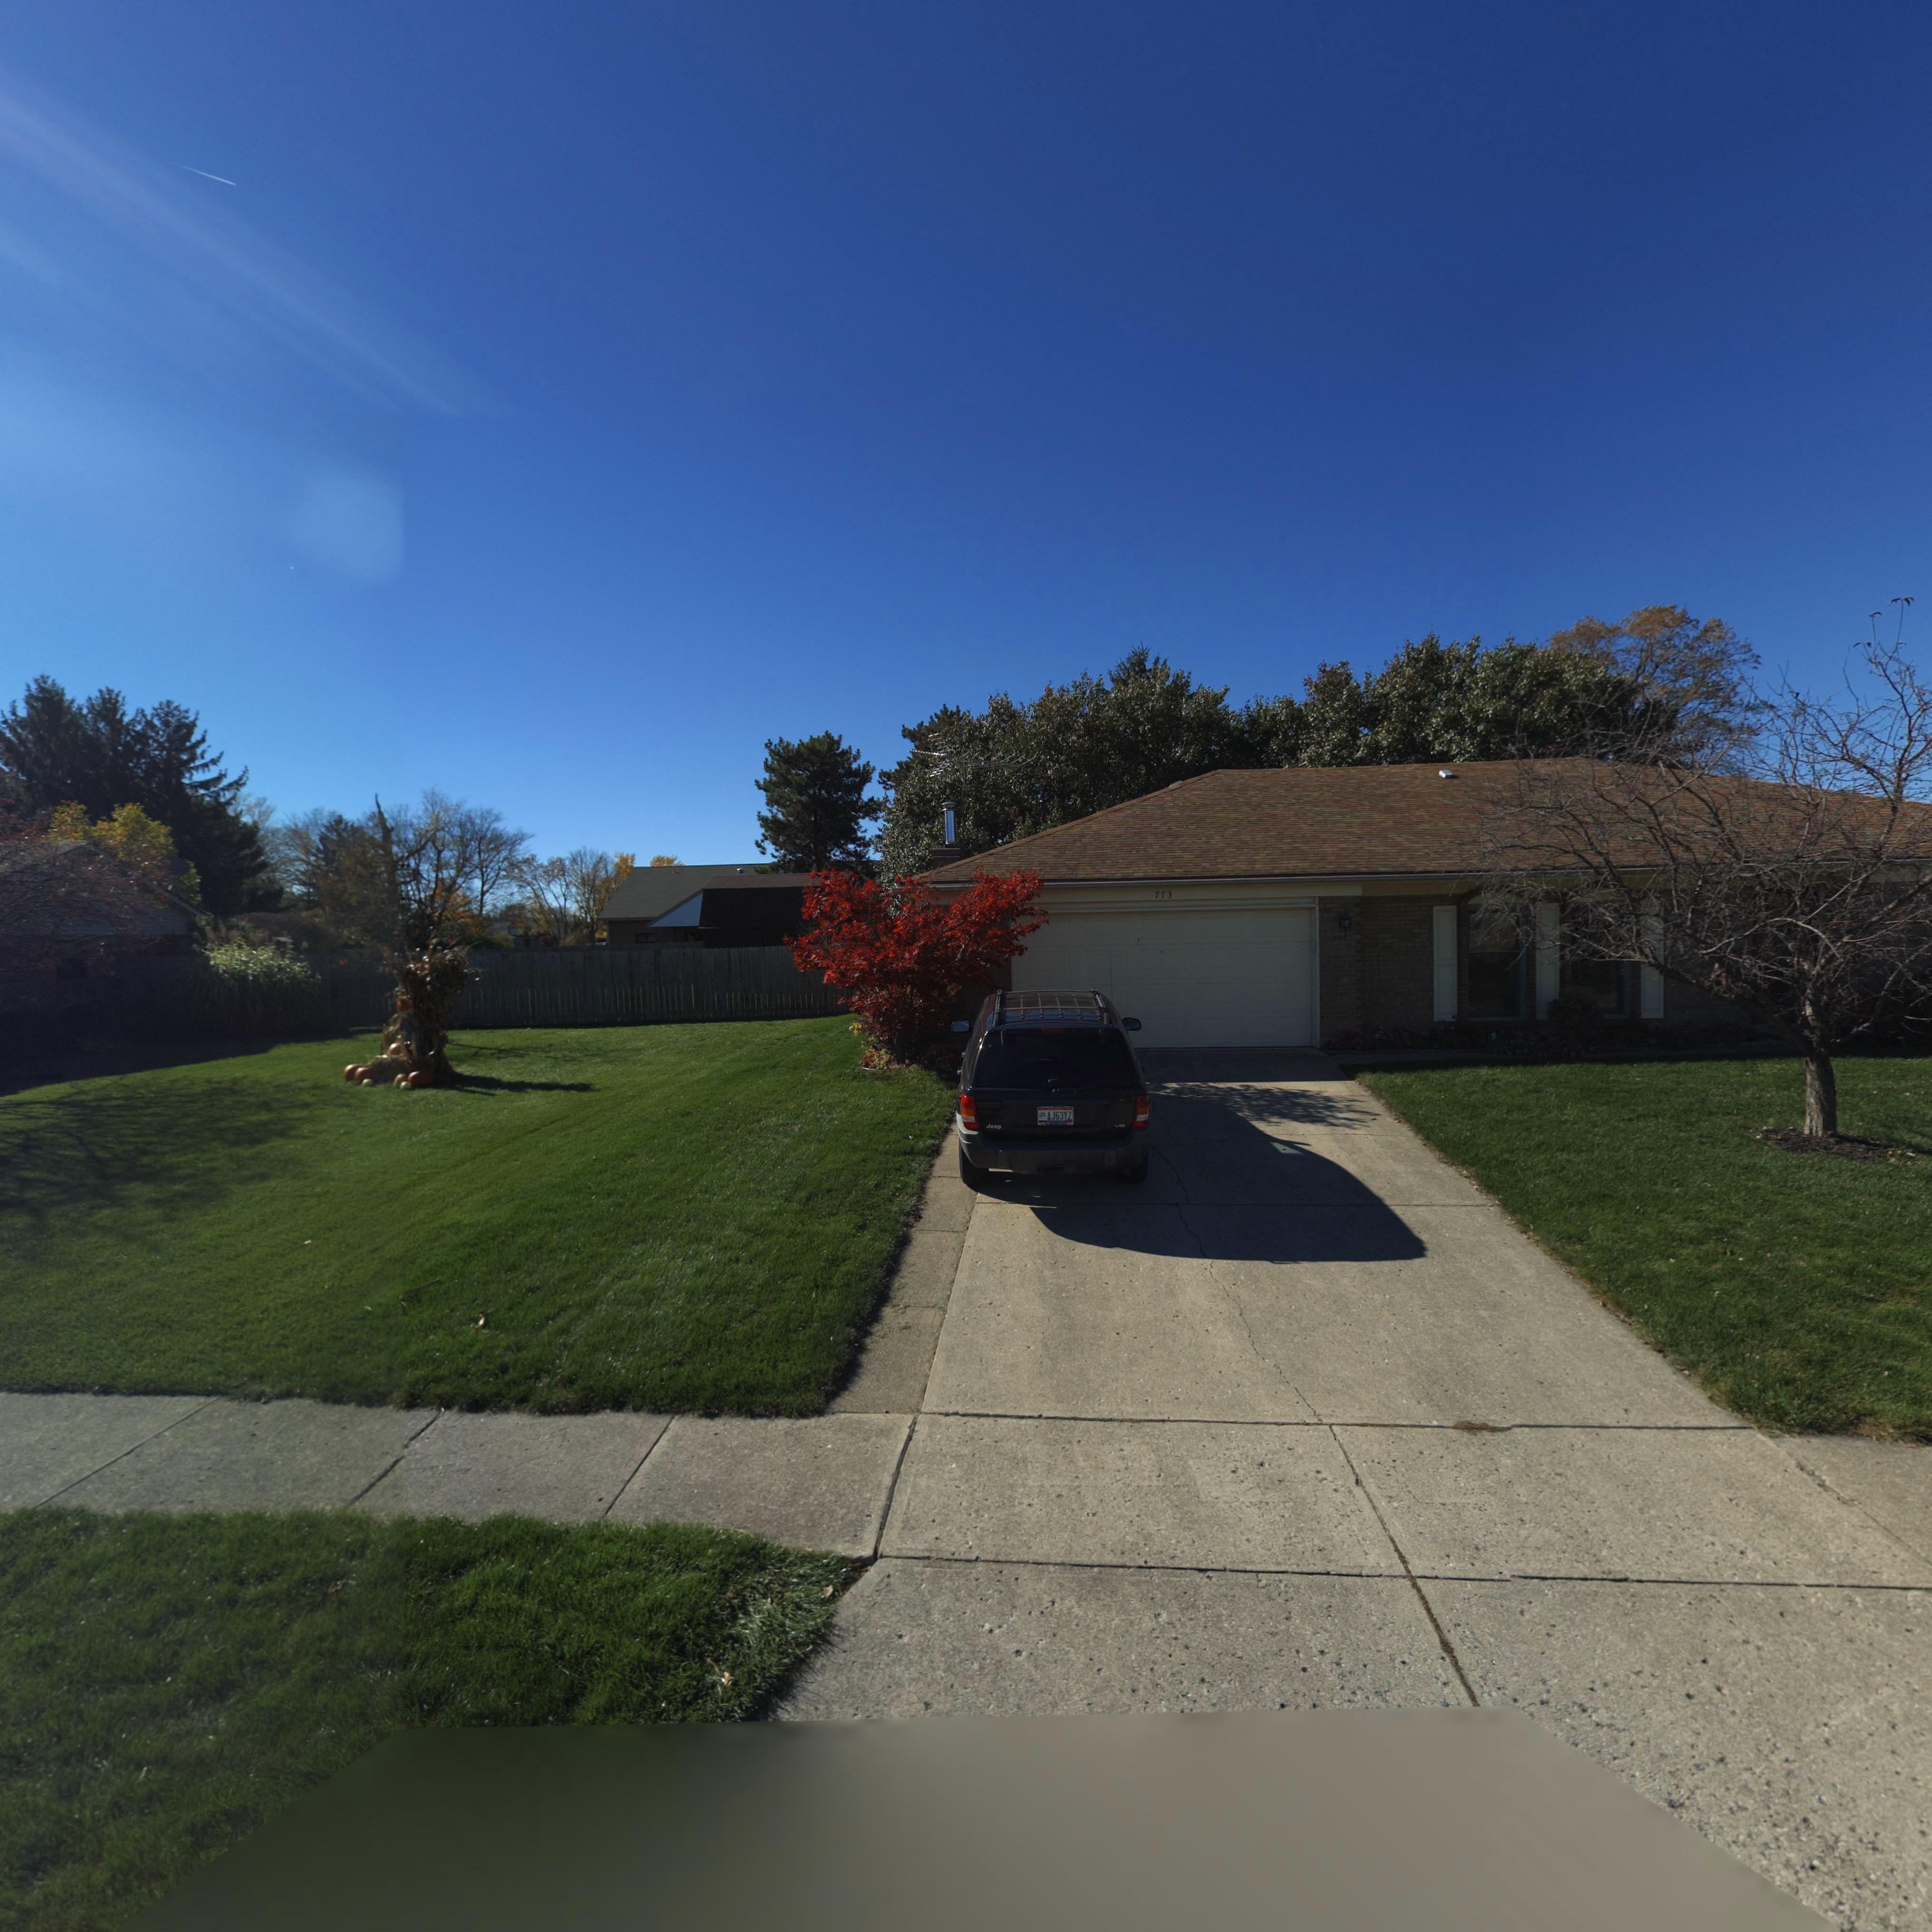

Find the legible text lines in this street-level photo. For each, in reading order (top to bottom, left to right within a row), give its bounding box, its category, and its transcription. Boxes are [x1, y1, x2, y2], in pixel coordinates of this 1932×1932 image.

[1154, 890, 1172, 899] StreetNumber: 773